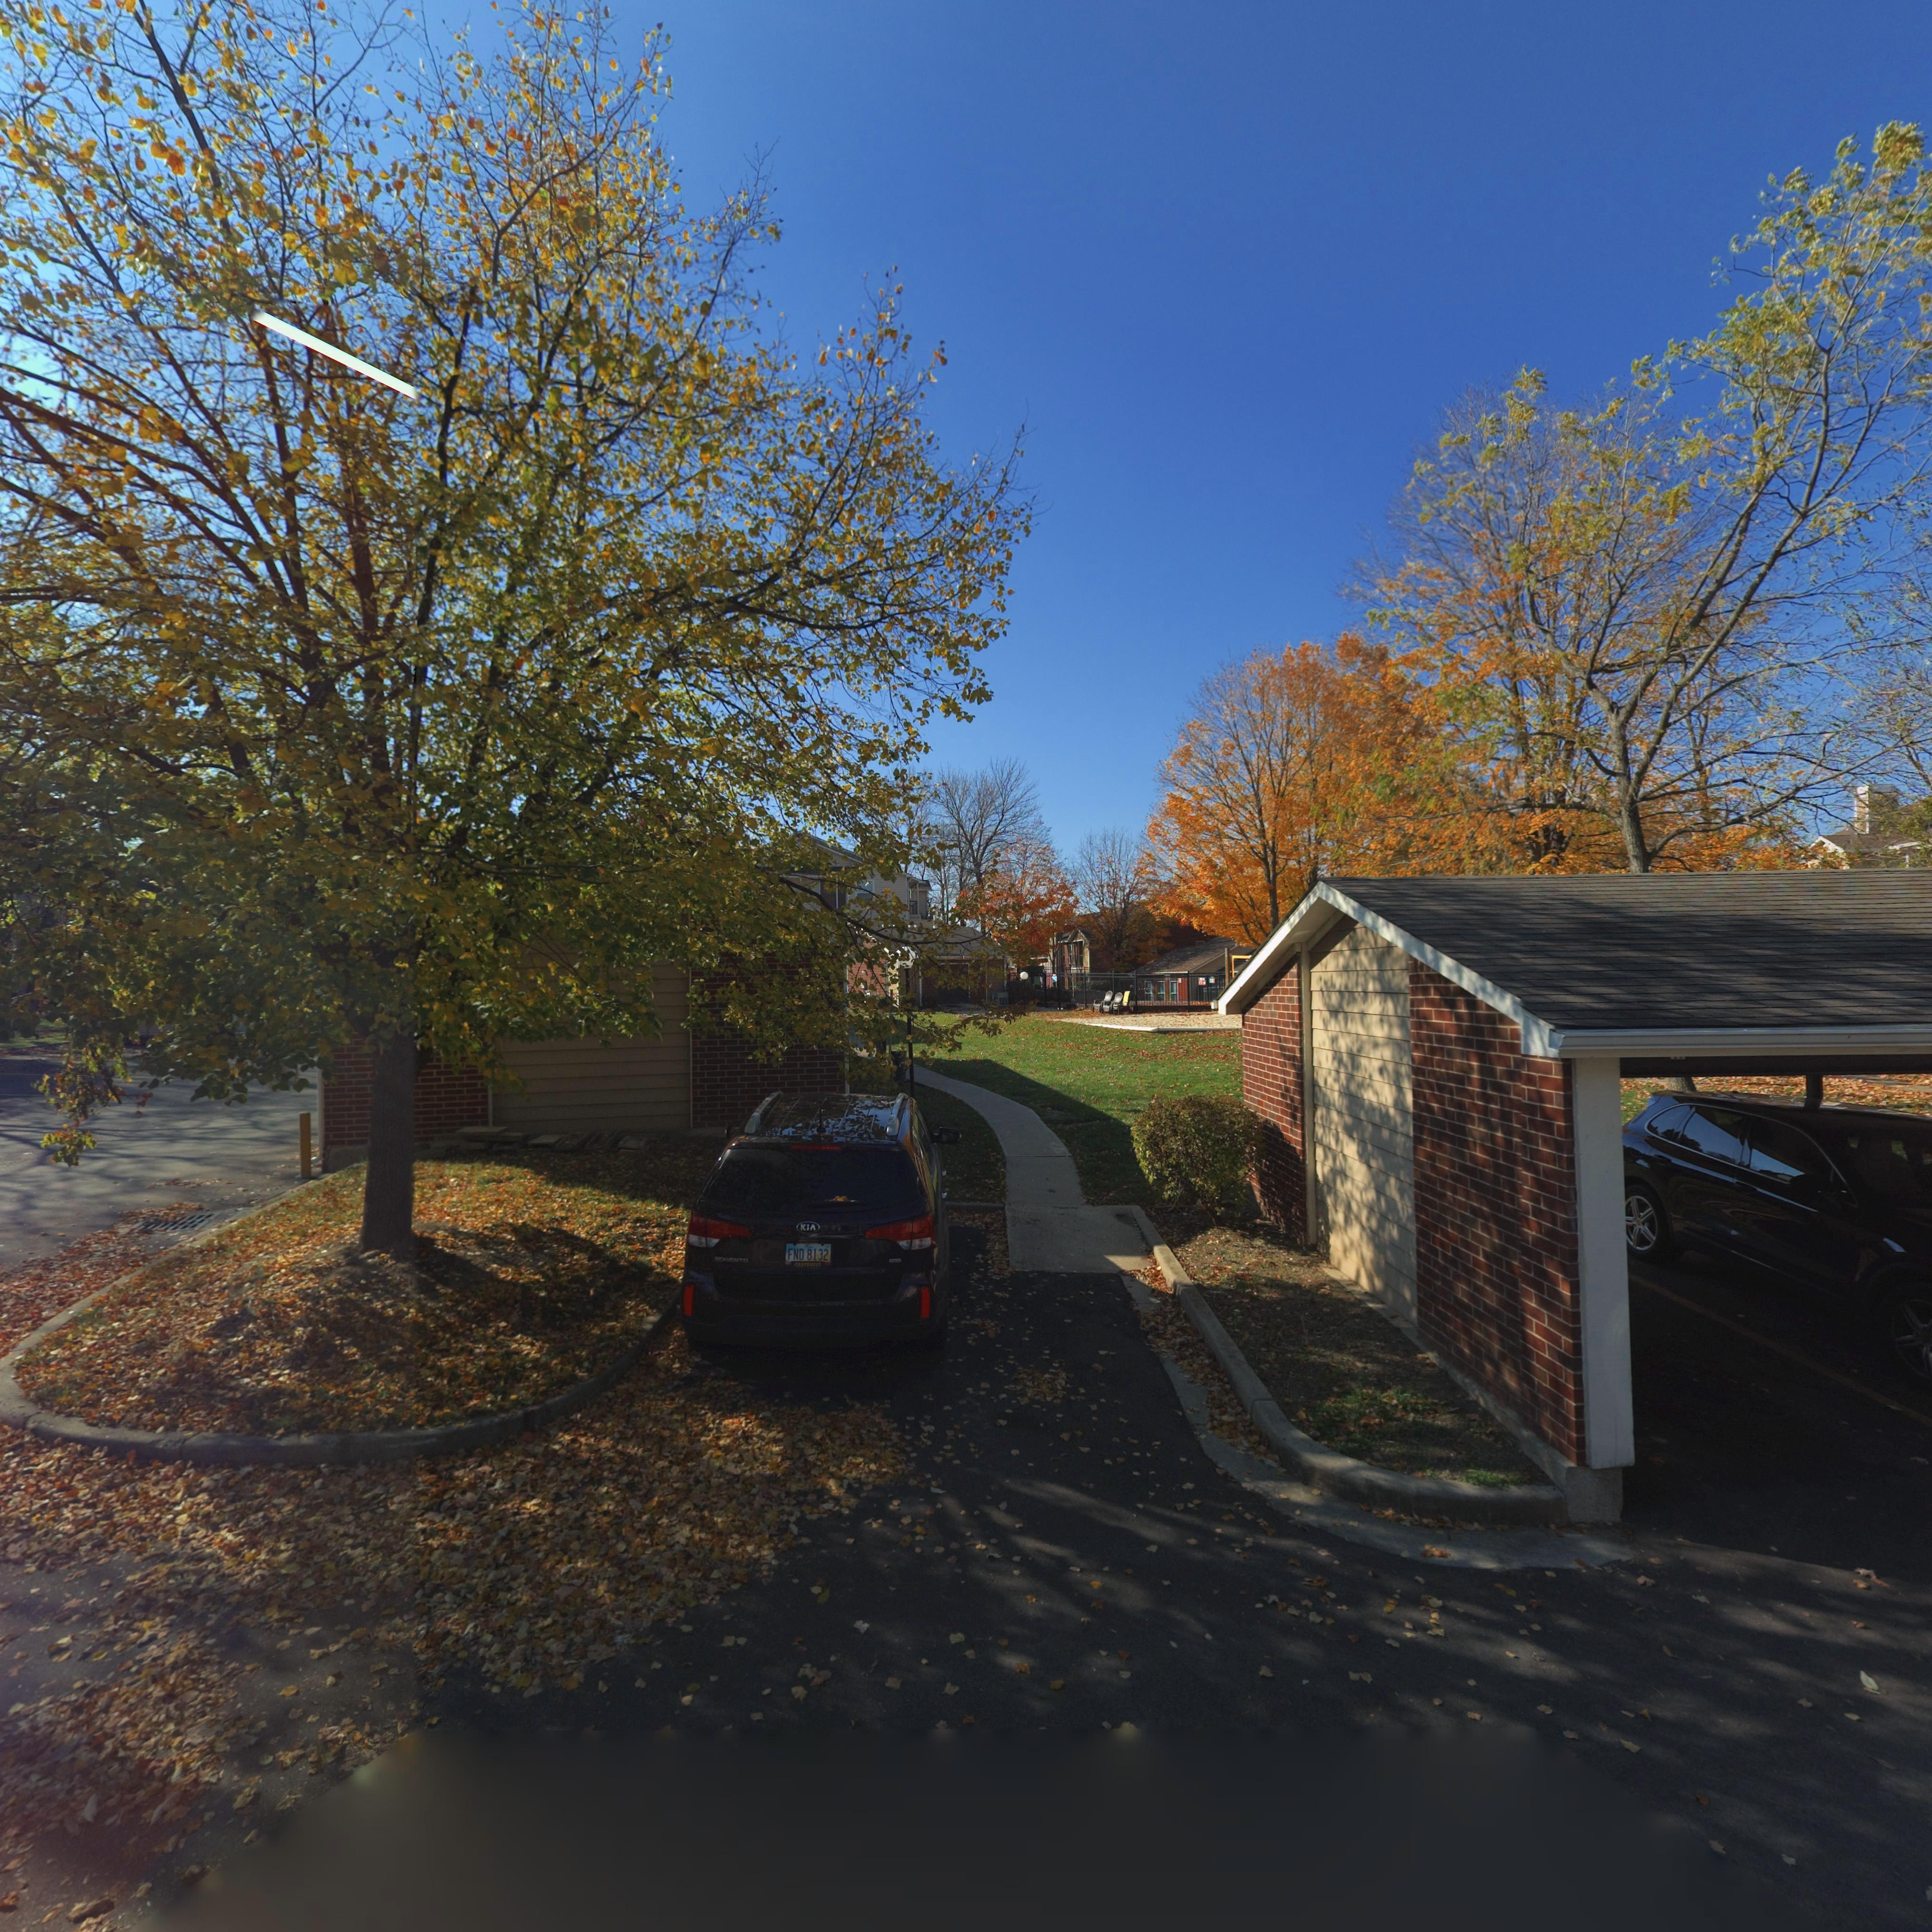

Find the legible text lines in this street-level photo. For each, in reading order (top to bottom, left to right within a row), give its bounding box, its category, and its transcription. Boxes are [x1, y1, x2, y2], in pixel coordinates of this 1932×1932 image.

[800, 1223, 817, 1232] None: KIA
[787, 1247, 830, 1262] None: FND 8132
[738, 1257, 750, 1264] None: TO
[793, 1261, 822, 1268] None: CASTRUCC*